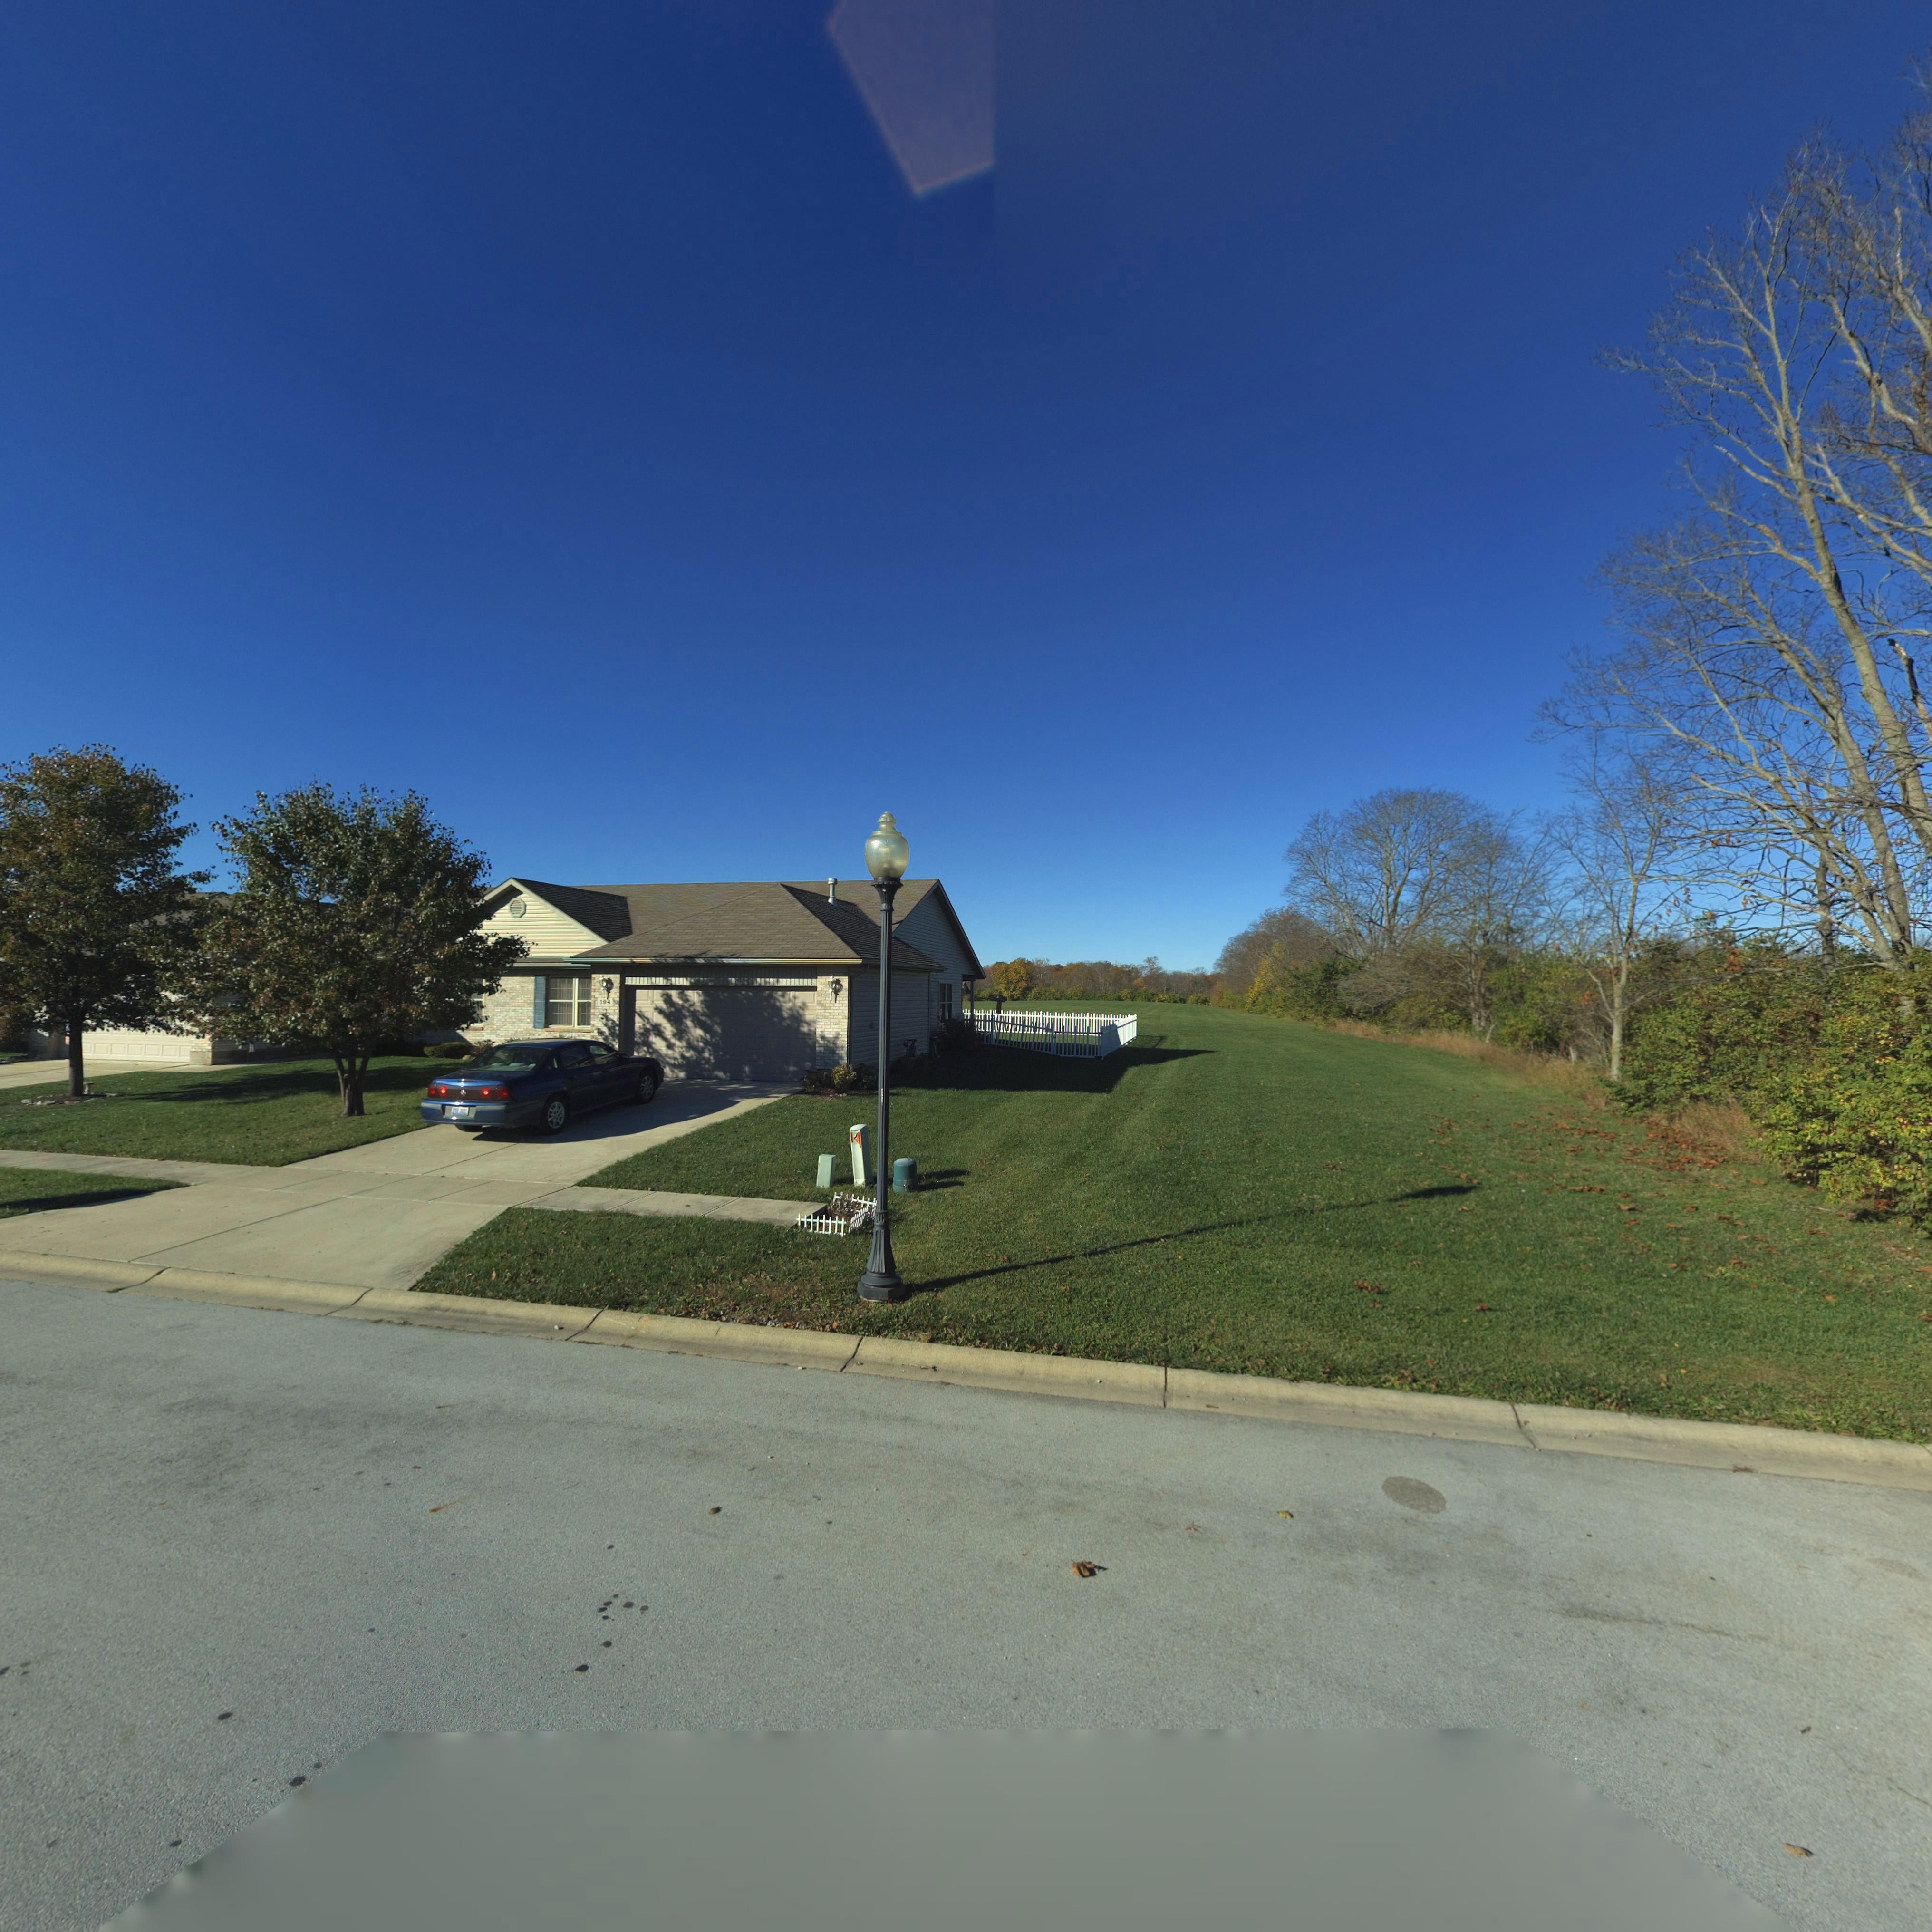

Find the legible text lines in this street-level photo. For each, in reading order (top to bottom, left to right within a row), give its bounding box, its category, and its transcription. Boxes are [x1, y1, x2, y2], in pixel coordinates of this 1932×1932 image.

[599, 998, 612, 1005] StreetNumber: 194